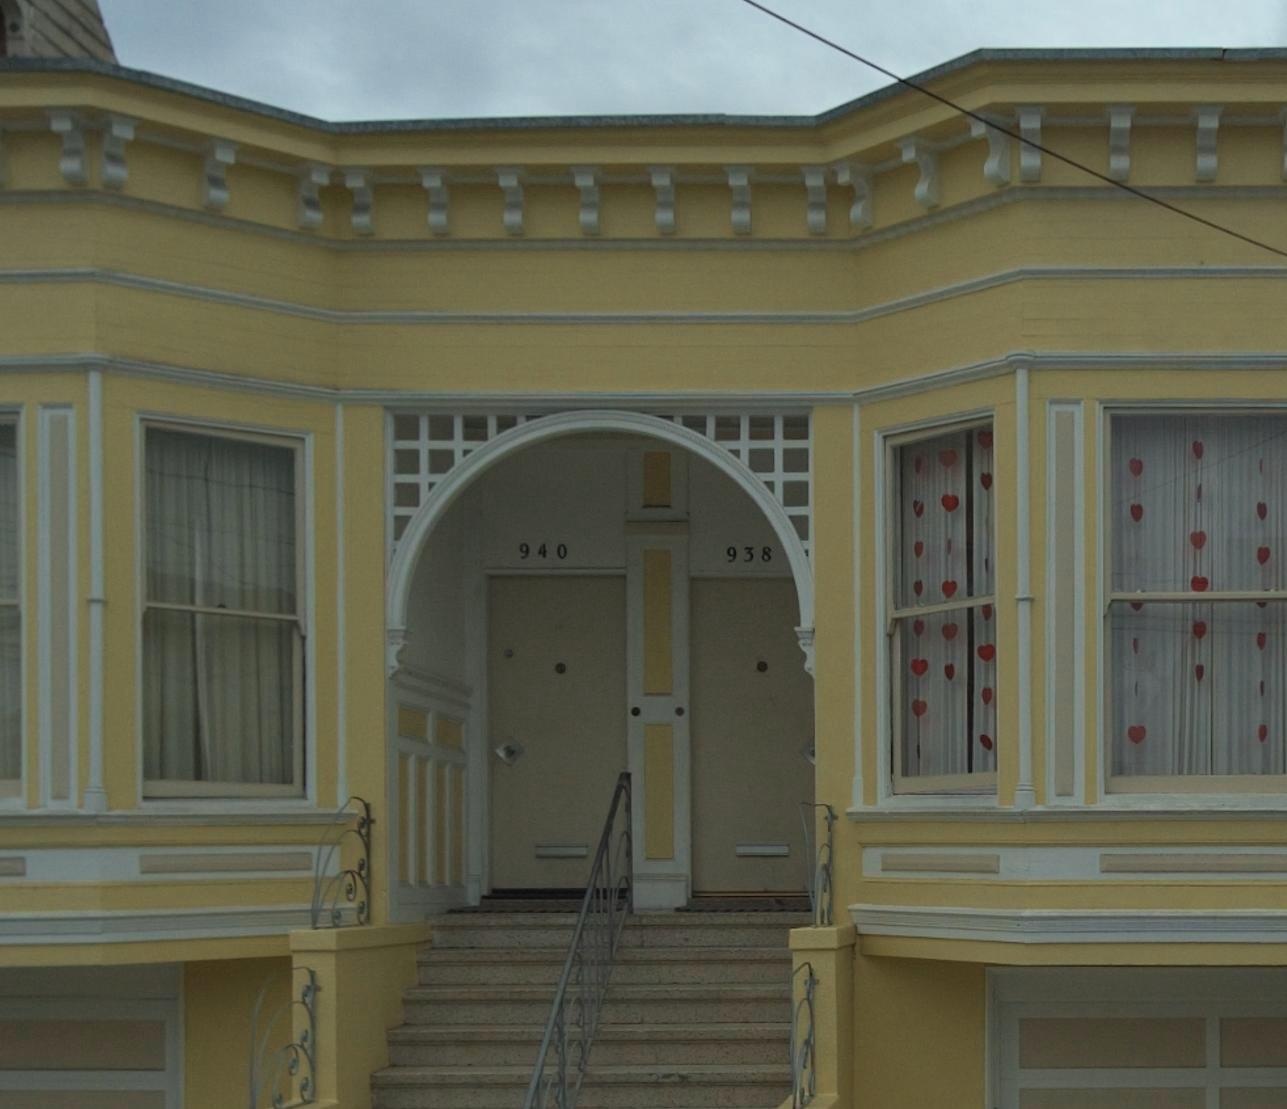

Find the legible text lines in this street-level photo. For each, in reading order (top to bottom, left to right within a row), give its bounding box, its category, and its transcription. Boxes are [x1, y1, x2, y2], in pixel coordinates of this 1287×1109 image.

[518, 541, 568, 562] StreetNumber: 940
[724, 545, 773, 564] StreetNumber: 938